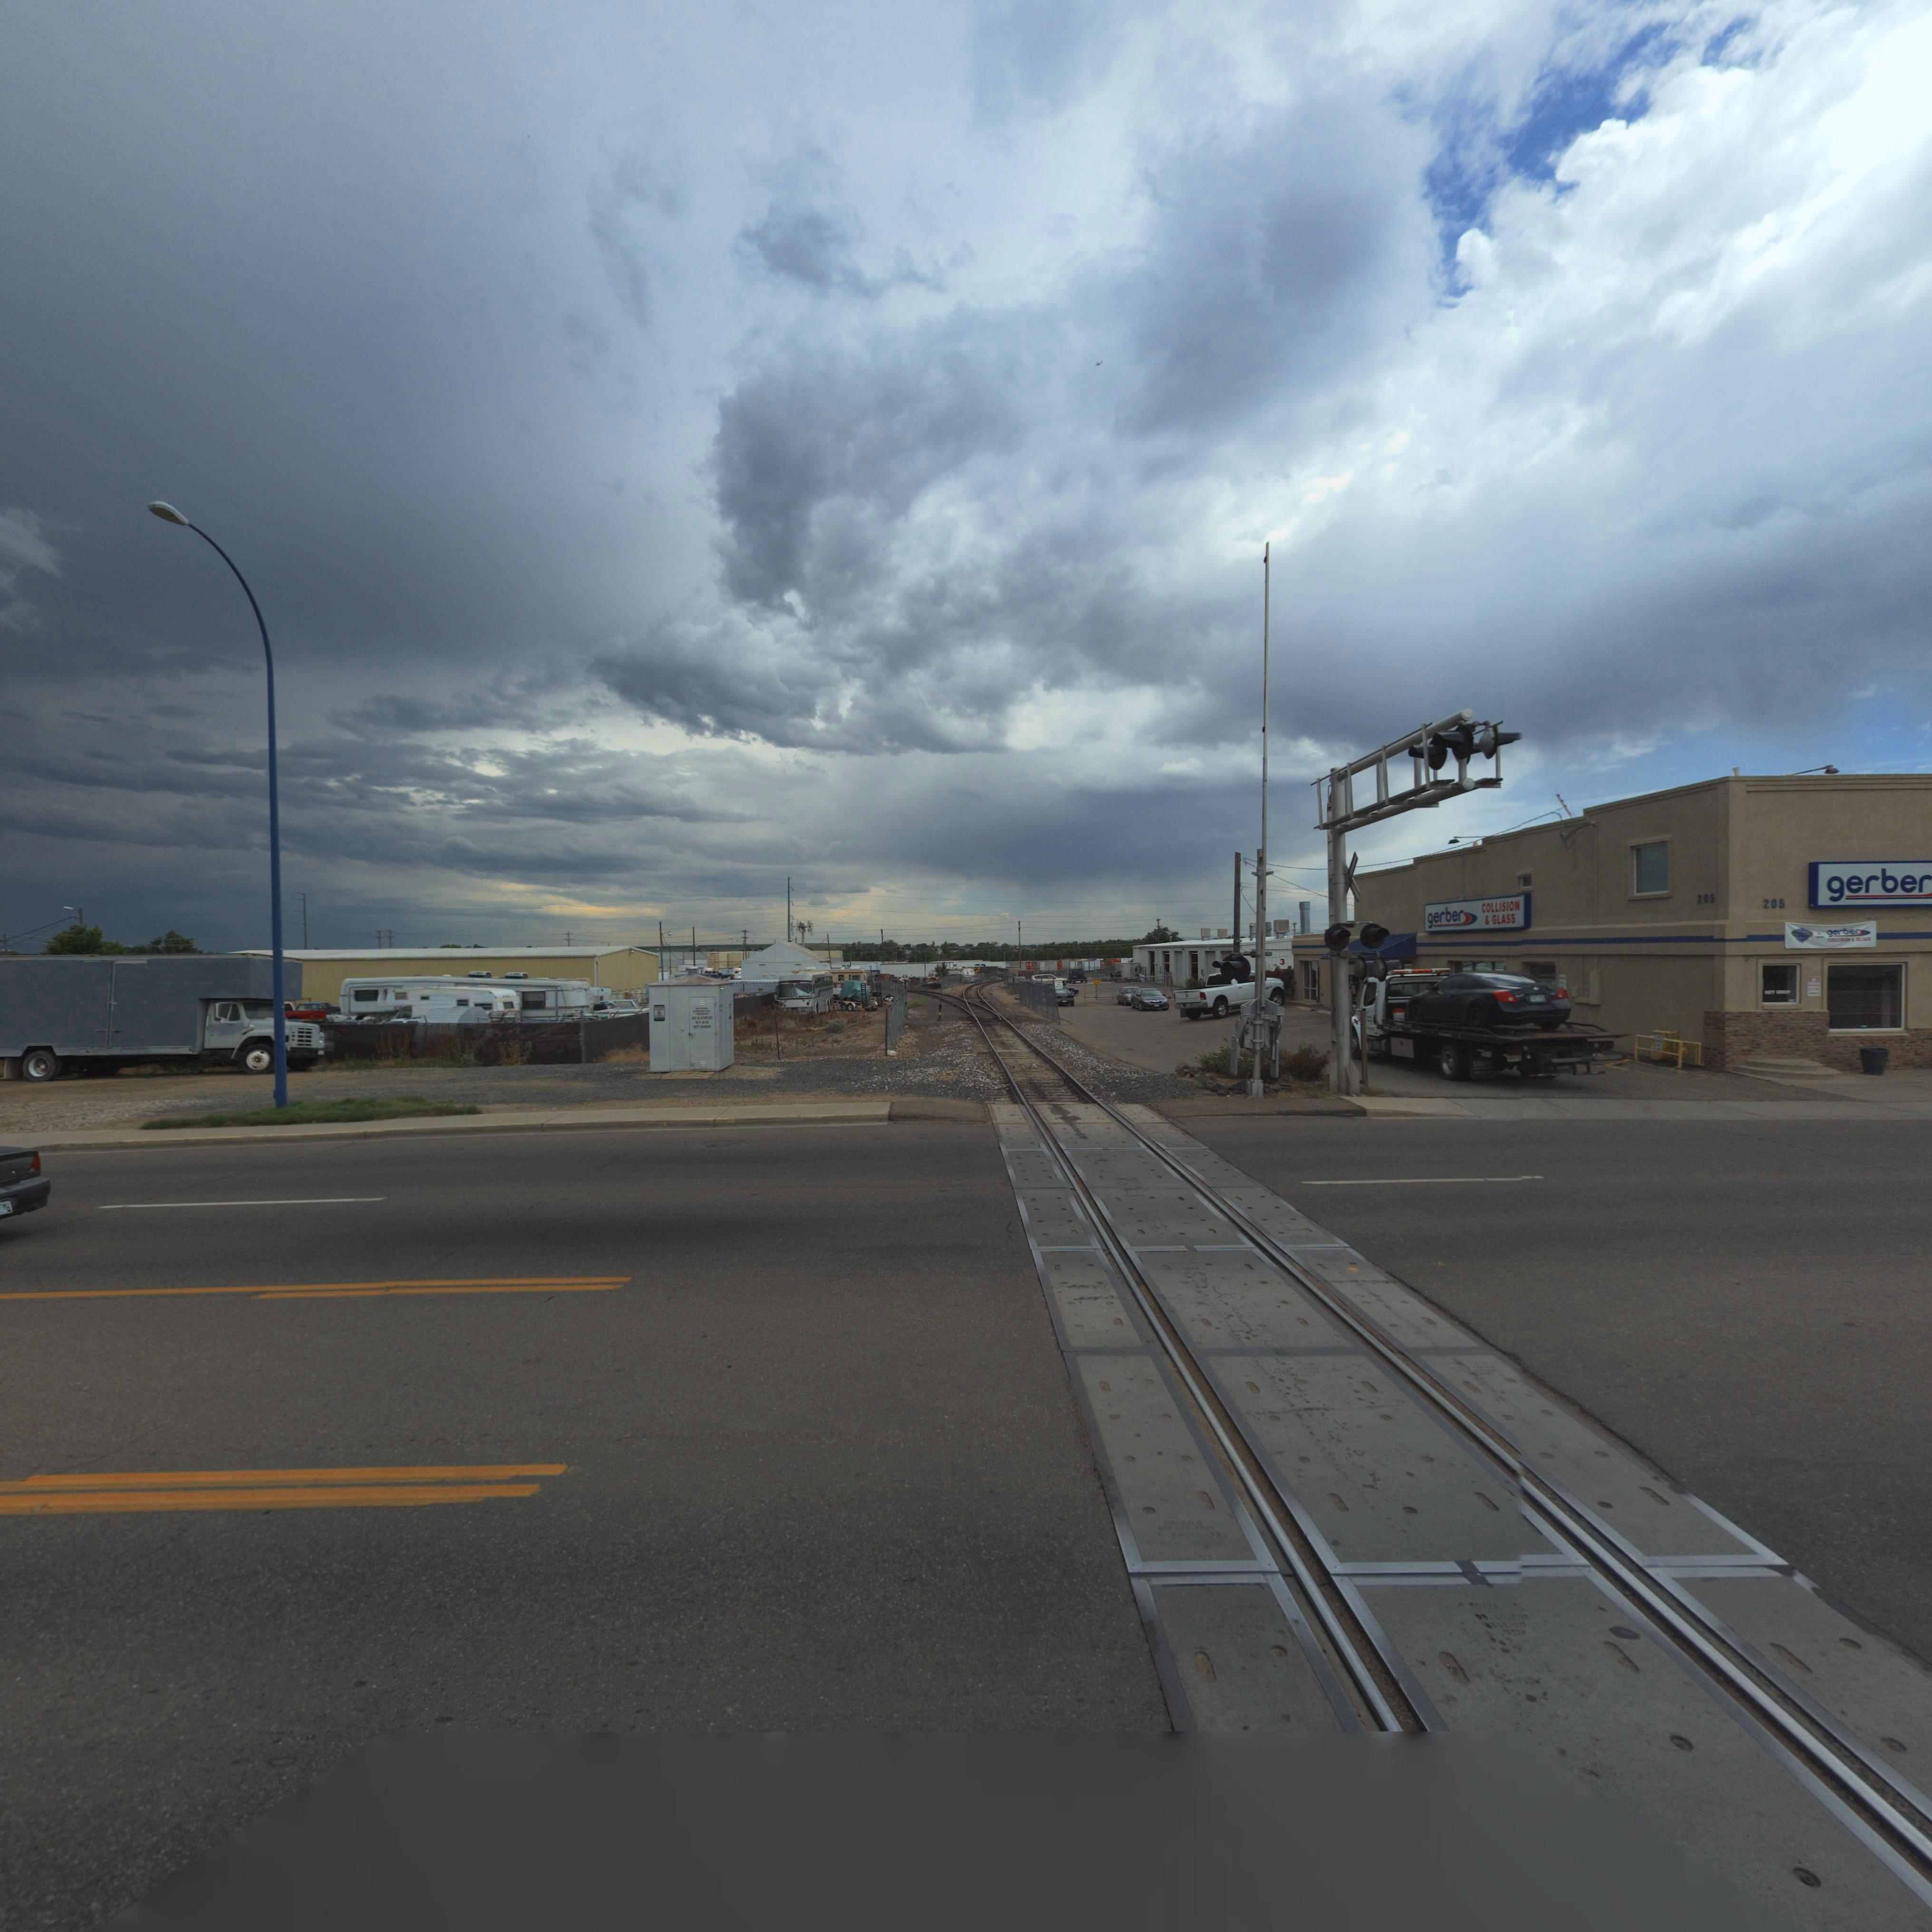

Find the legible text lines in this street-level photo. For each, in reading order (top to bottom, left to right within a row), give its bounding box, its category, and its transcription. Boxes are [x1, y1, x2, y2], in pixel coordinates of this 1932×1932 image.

[1826, 867, 1918, 903] BusinessName: gerbe
[1481, 899, 1520, 913] BusinessName: COLLISION
[1696, 893, 1714, 904] StreetNumber: 205
[1762, 898, 1785, 910] StreetNumber: 205
[1426, 906, 1464, 928] BusinessName: gerber
[1484, 912, 1516, 925] BusinessName: * GLASS
[1826, 927, 1861, 937] BusinessName: gerber